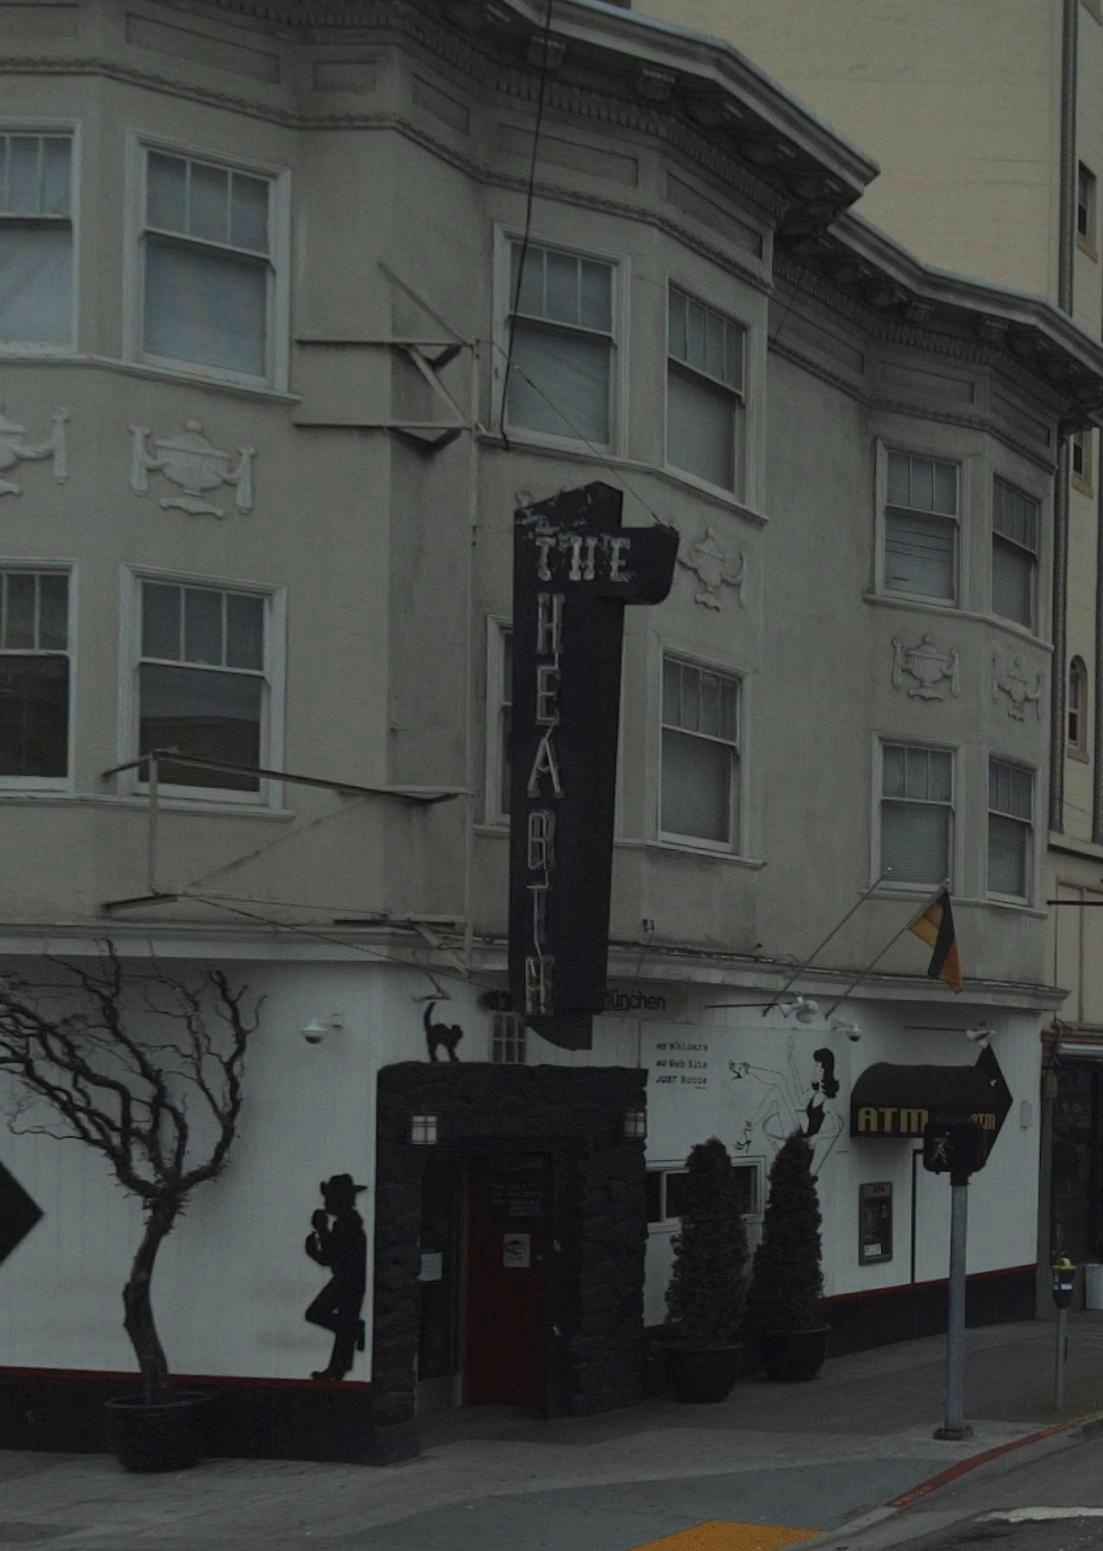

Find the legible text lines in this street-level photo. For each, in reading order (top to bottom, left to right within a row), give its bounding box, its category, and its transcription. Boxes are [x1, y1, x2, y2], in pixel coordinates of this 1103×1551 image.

[531, 533, 634, 586] BusinessName: THE
[515, 585, 574, 1023] BusinessName: HEARTH
[609, 987, 668, 1013] None: unchen
[654, 1041, 668, 1053] None: NO
[655, 1057, 668, 1069] None: NO
[652, 1073, 680, 1086] None: JUST
[855, 1104, 900, 1133] None: AT